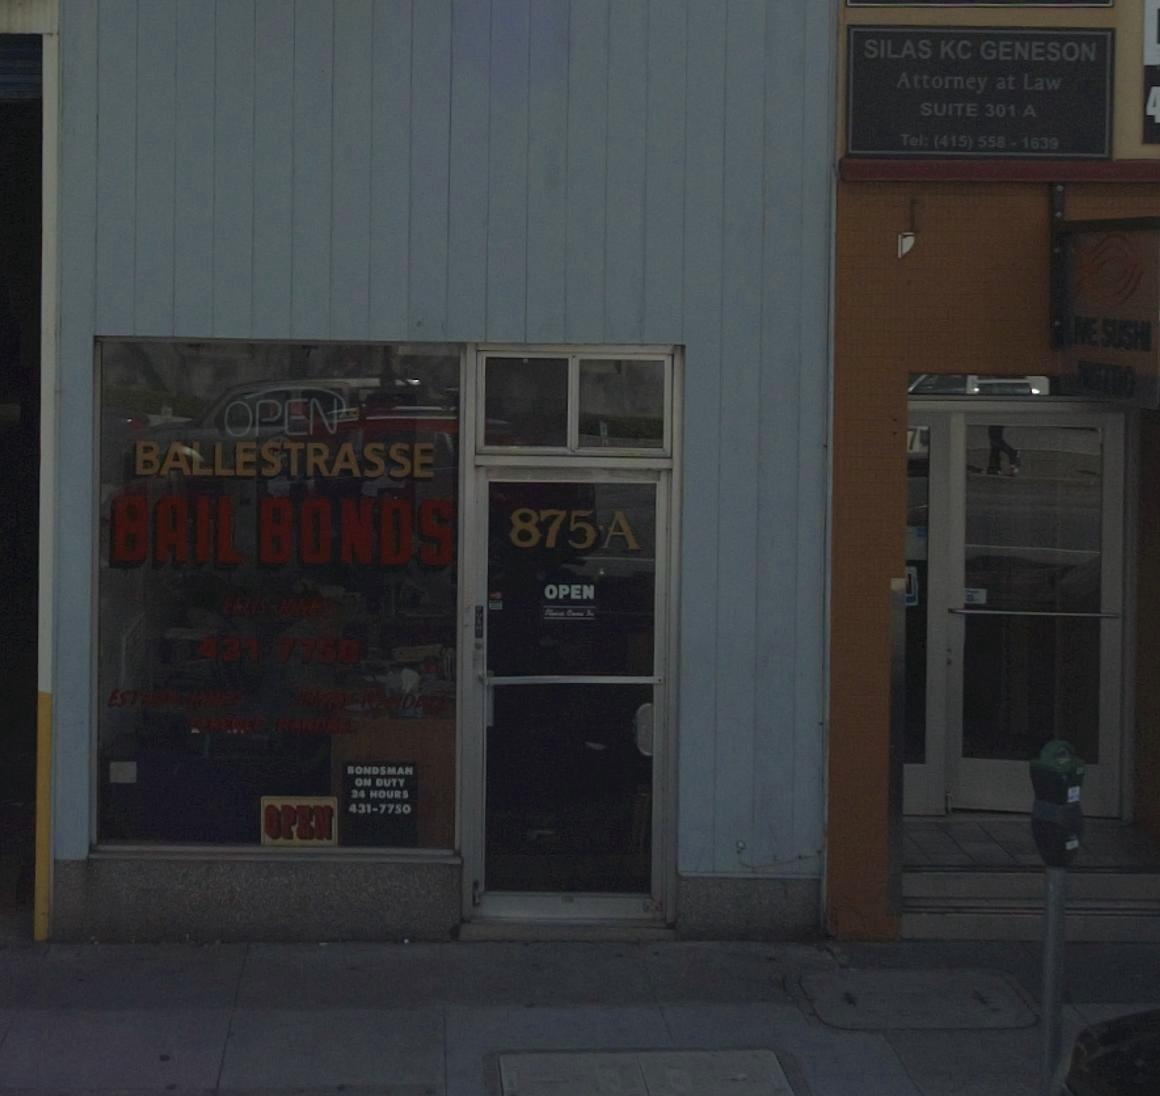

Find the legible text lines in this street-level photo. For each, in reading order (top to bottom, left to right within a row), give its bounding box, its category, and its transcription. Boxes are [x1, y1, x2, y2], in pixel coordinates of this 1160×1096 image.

[860, 34, 1103, 65] BusinessName: SILAS KC GENESON
[891, 67, 1069, 99] BusinessName: Attorney at Law
[915, 97, 1043, 122] SecondaryUnitDesignator: SUITE 301 A
[897, 130, 1063, 154] None: Tel: (415) 558 - 1839
[1060, 311, 1157, 356] BusinessName: LIVE SUSHI
[1118, 359, 1140, 400] None: O
[217, 395, 343, 441] None: OPEN
[905, 425, 923, 456] None: 7
[128, 434, 441, 488] BusinessName: BALLESTRASSE
[103, 488, 458, 573] BusinessName: BAIL BONDS
[503, 505, 646, 556] StreetNumber: 875A
[540, 580, 598, 604] None: OPEN
[475, 605, 483, 634] None: PUSH
[196, 631, 366, 670] None: 431-7750
[102, 685, 147, 711] None: EST
[191, 689, 226, 711] None: ON
[398, 690, 420, 714] None: D
[272, 714, 330, 736] None: RAND
[344, 763, 415, 778] None: BONDSMAN
[352, 774, 408, 789] None: ON DUTY
[348, 787, 412, 801] None: 24 HOURS
[262, 802, 334, 843] None: OPEN
[347, 801, 414, 817] None: 431-7750